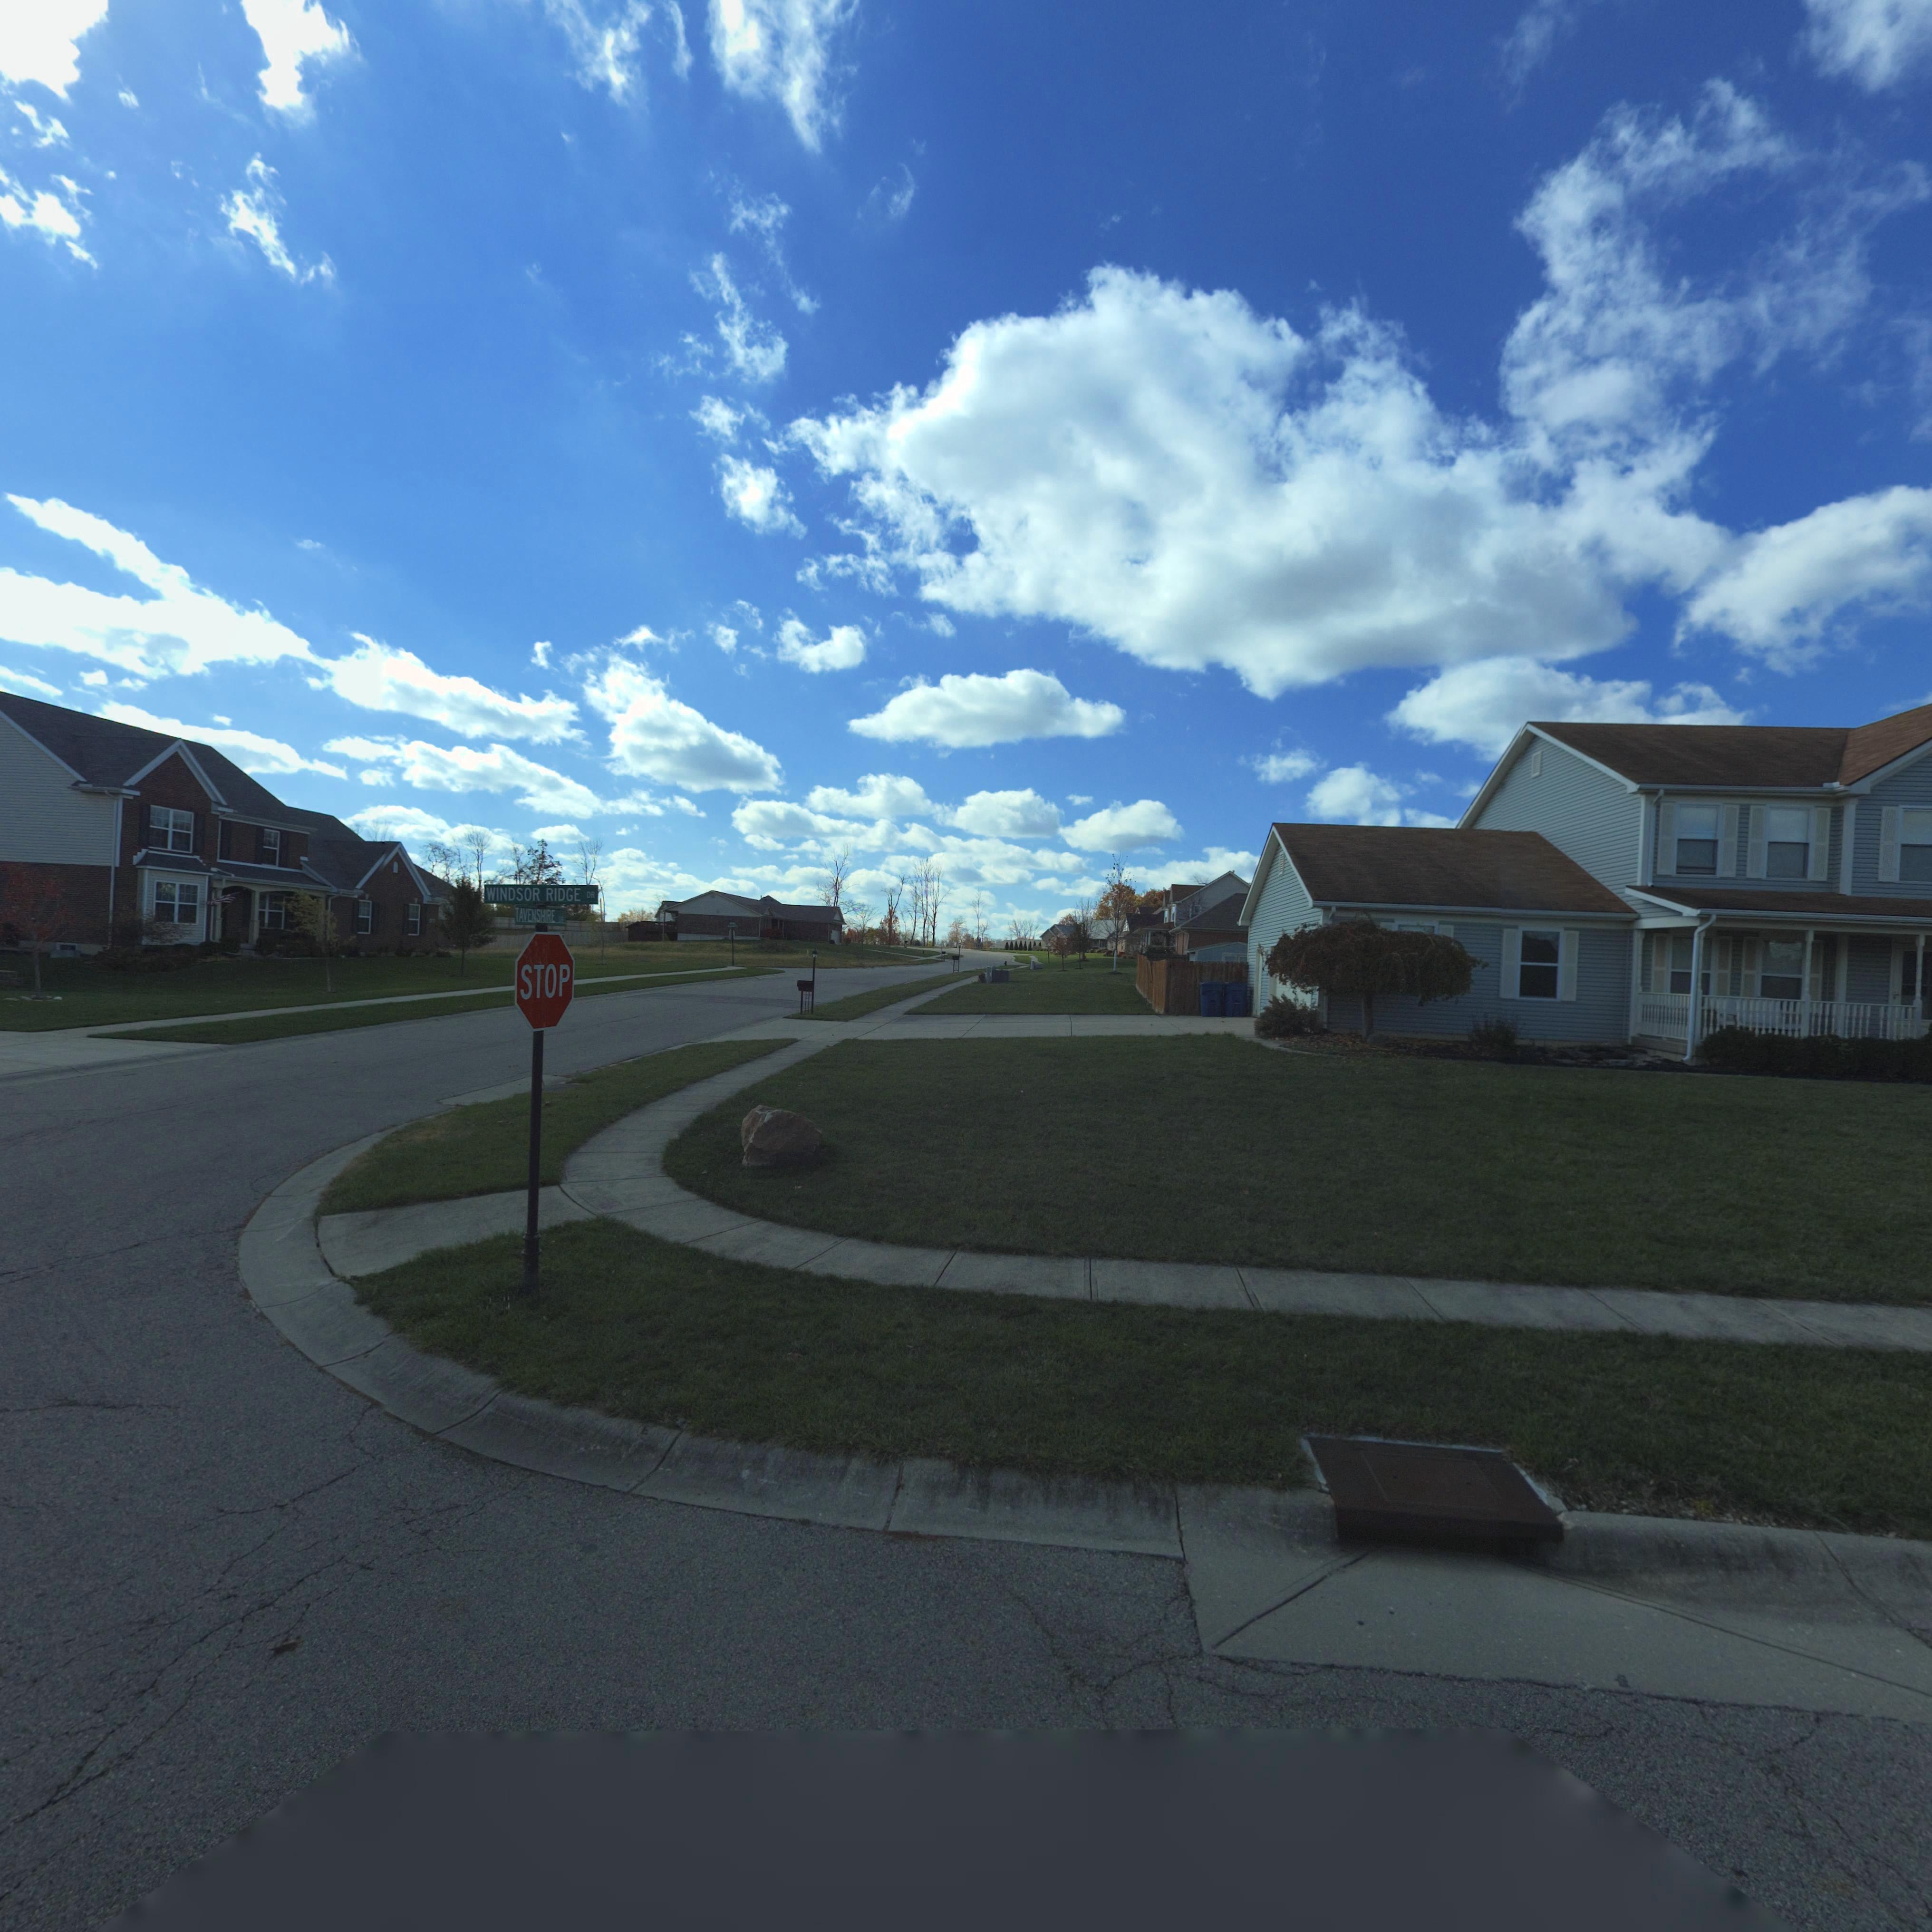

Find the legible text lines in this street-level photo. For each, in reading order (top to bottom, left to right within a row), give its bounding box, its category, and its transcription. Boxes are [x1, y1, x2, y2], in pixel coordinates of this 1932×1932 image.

[485, 887, 596, 903] StreetName: WINDSOR RIDGE DR
[515, 907, 556, 924] StreetName: TAVENSHIRE